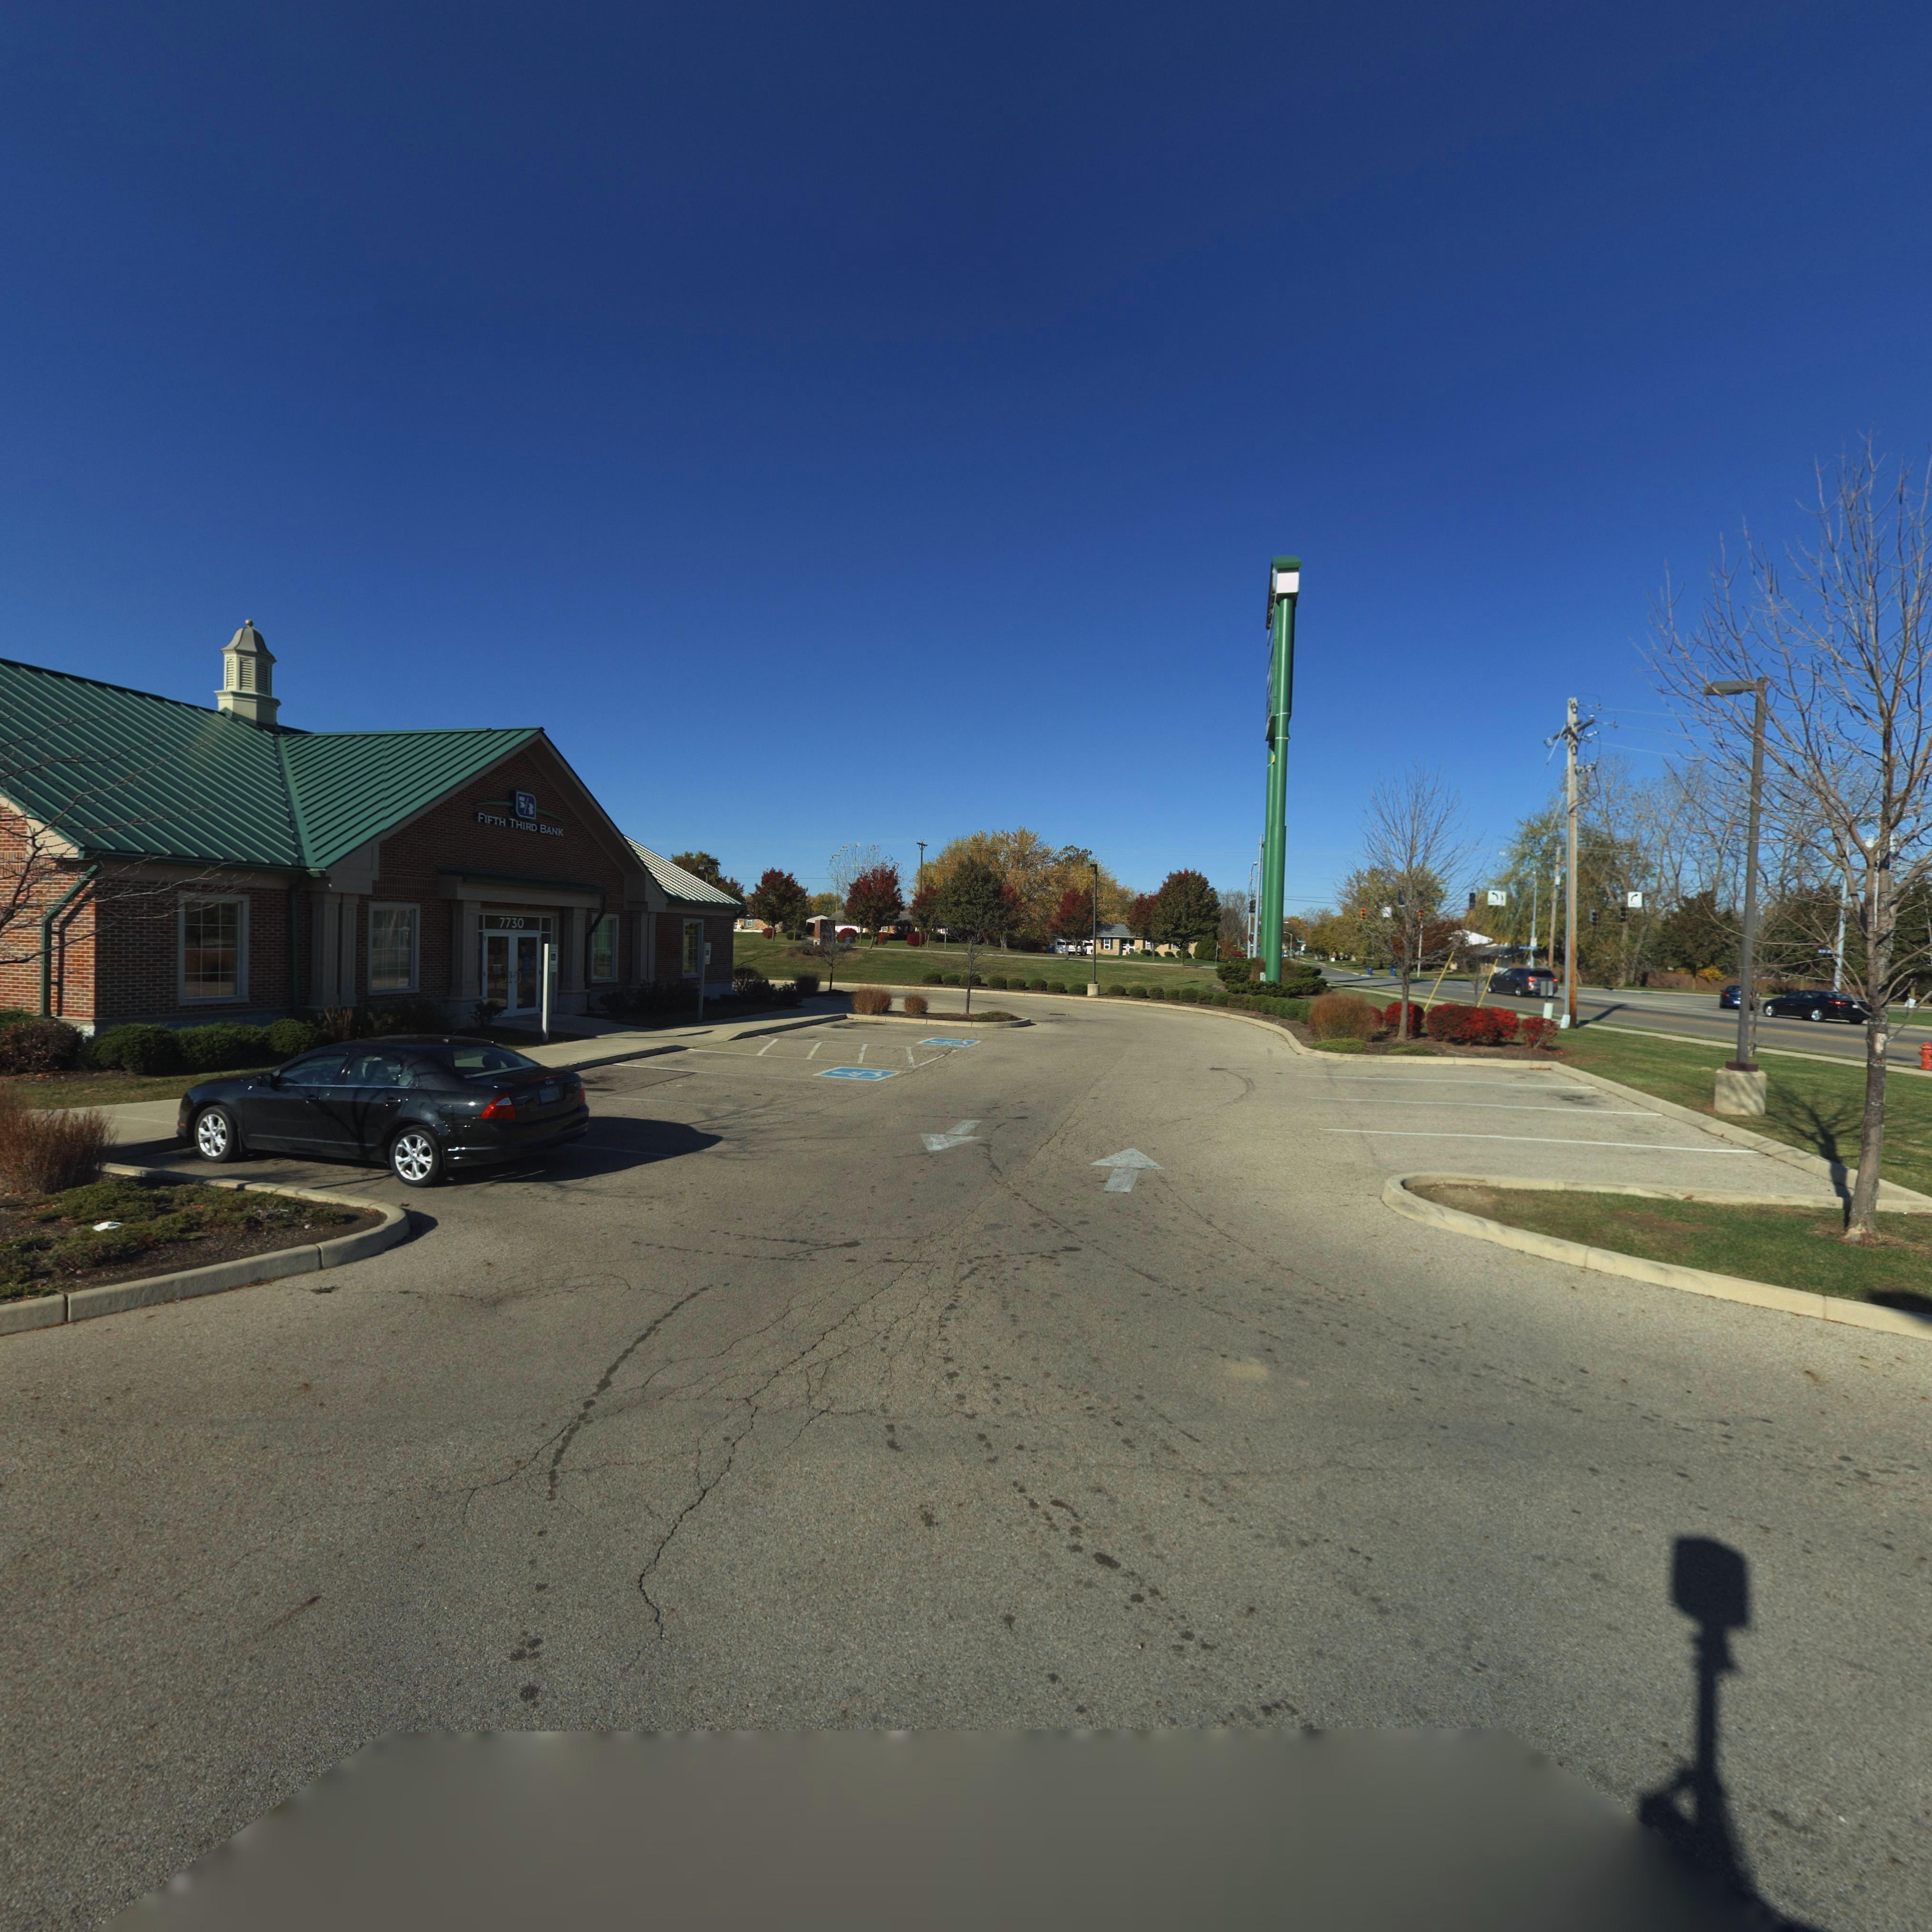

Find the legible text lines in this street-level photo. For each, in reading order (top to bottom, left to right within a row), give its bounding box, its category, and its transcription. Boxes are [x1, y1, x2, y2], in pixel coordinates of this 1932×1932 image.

[477, 811, 565, 837] BusinessName: FIFTH THIRD BANK
[498, 917, 525, 929] StreetNumber: 7730